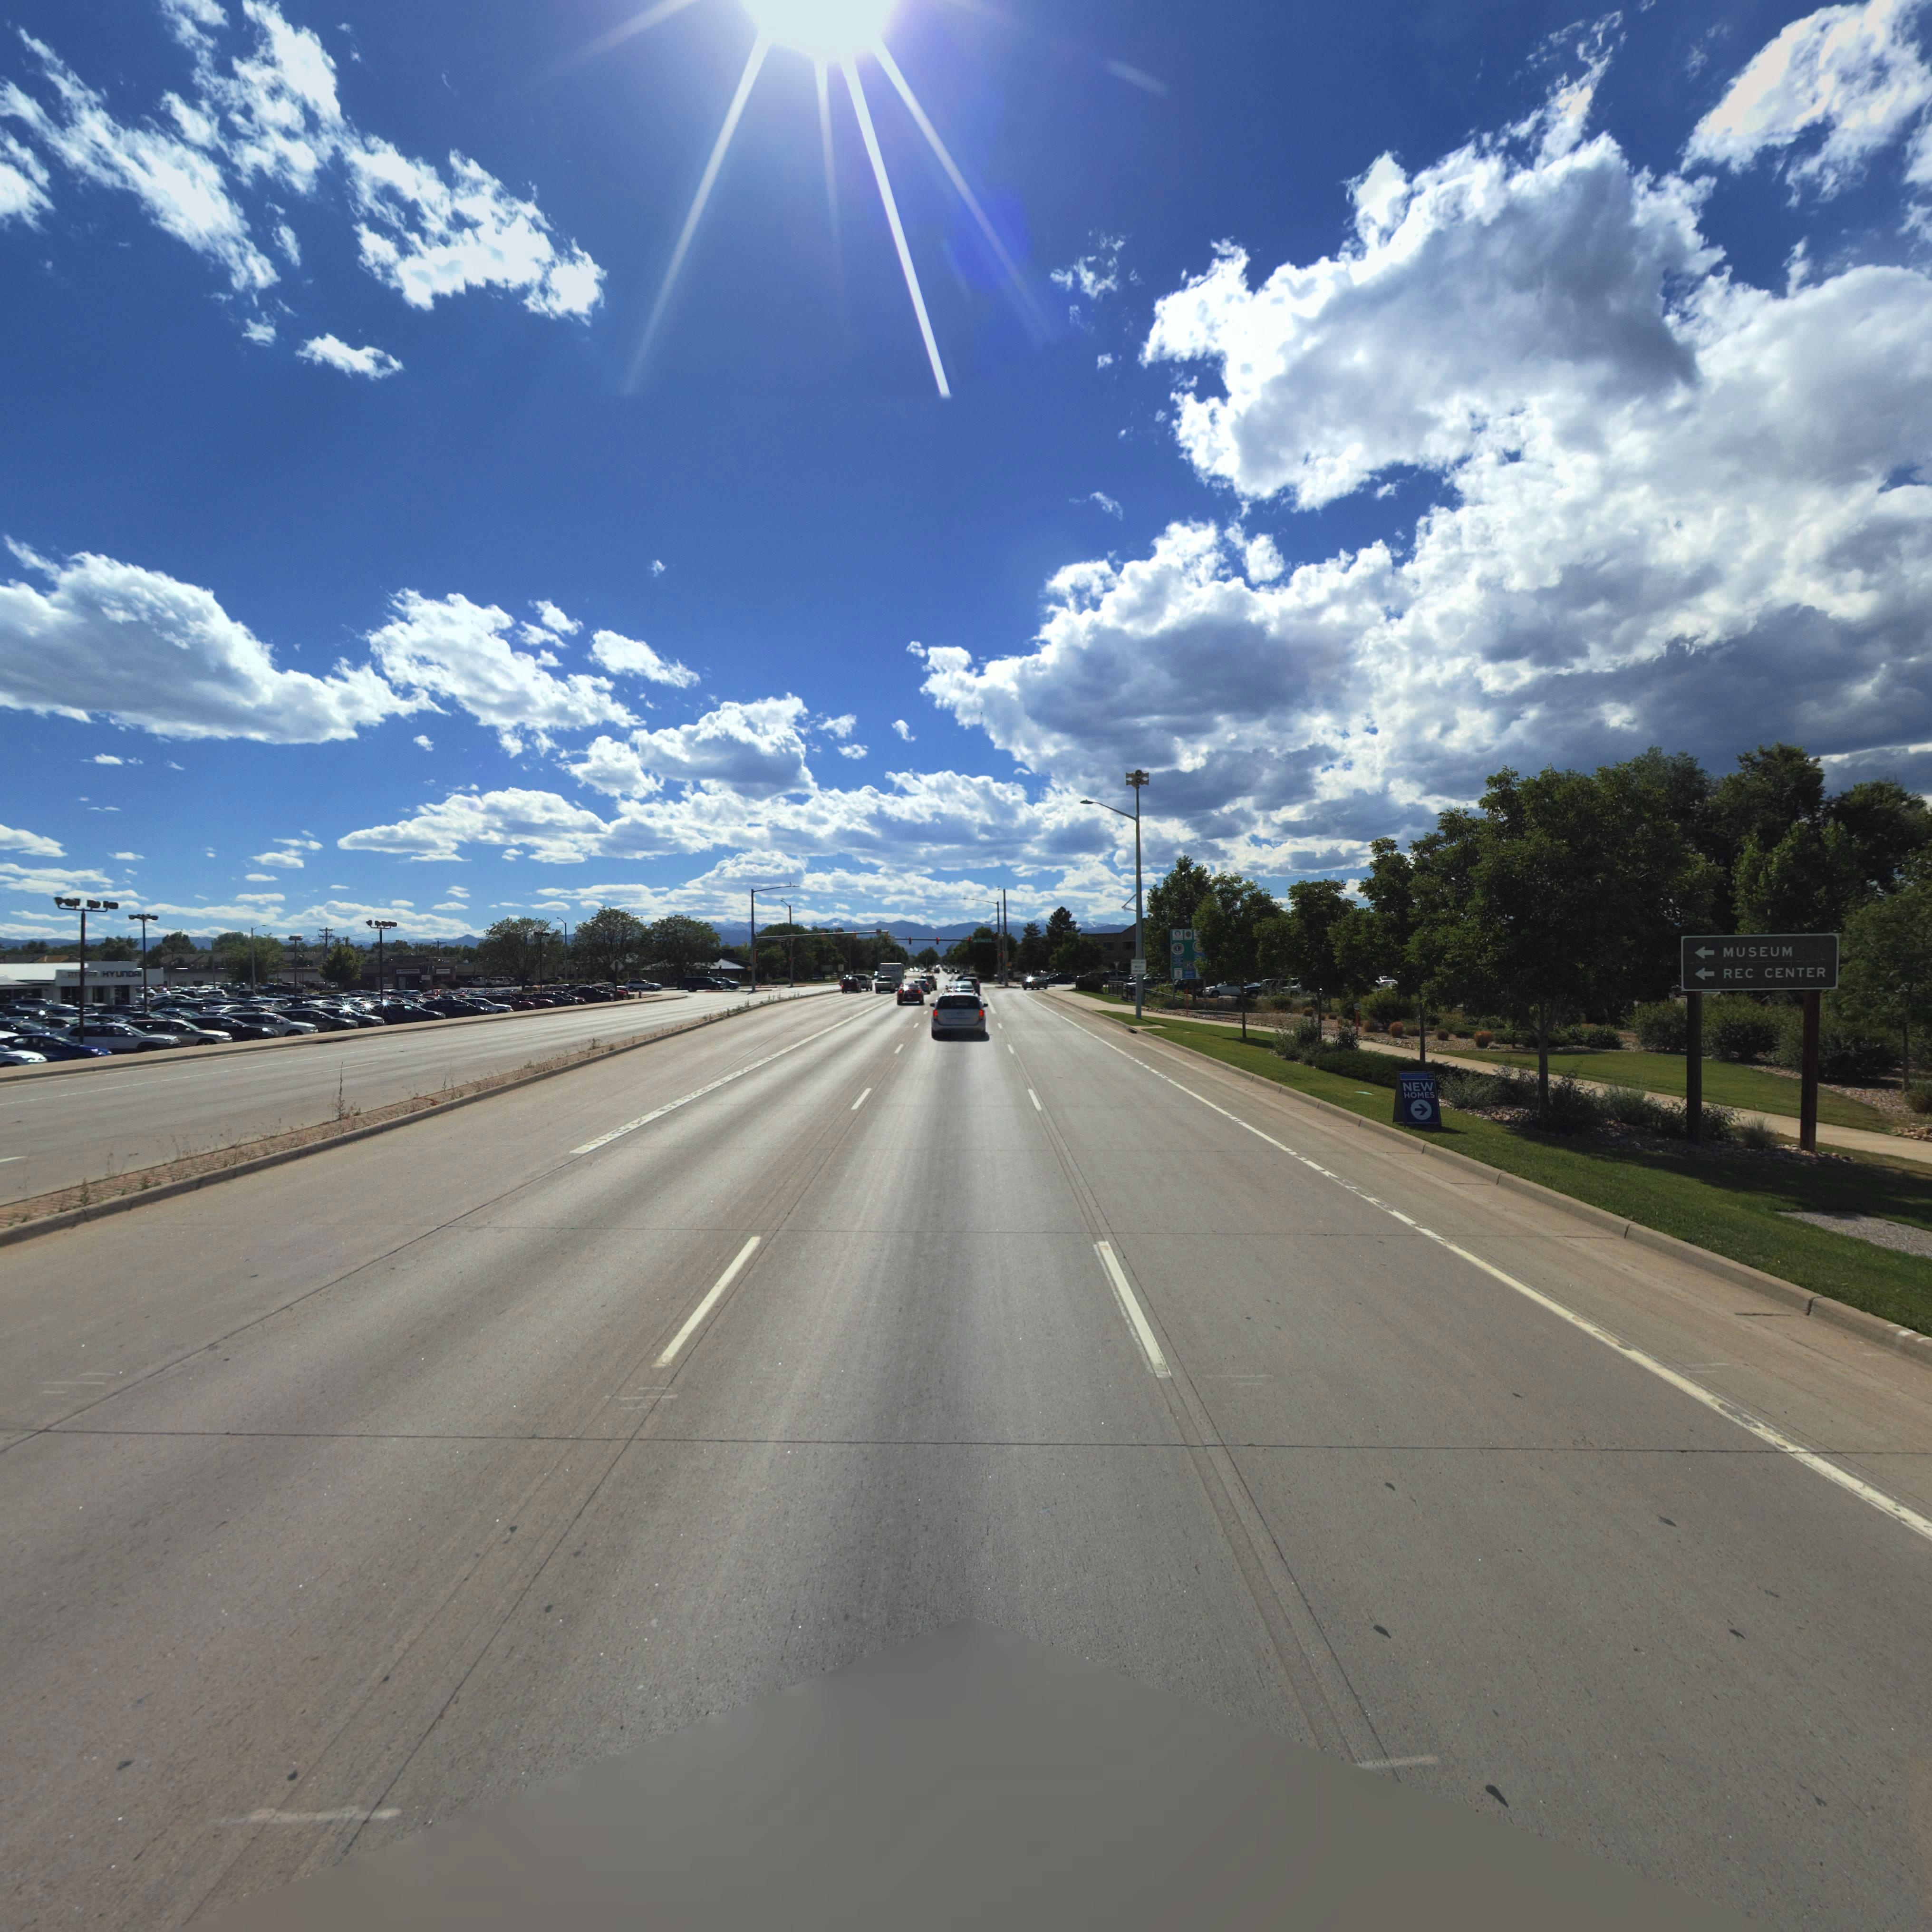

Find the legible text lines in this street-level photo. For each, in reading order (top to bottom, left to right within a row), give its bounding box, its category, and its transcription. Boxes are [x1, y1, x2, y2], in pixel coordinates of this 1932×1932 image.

[102, 970, 142, 977] BusinessName: HYUNDAI